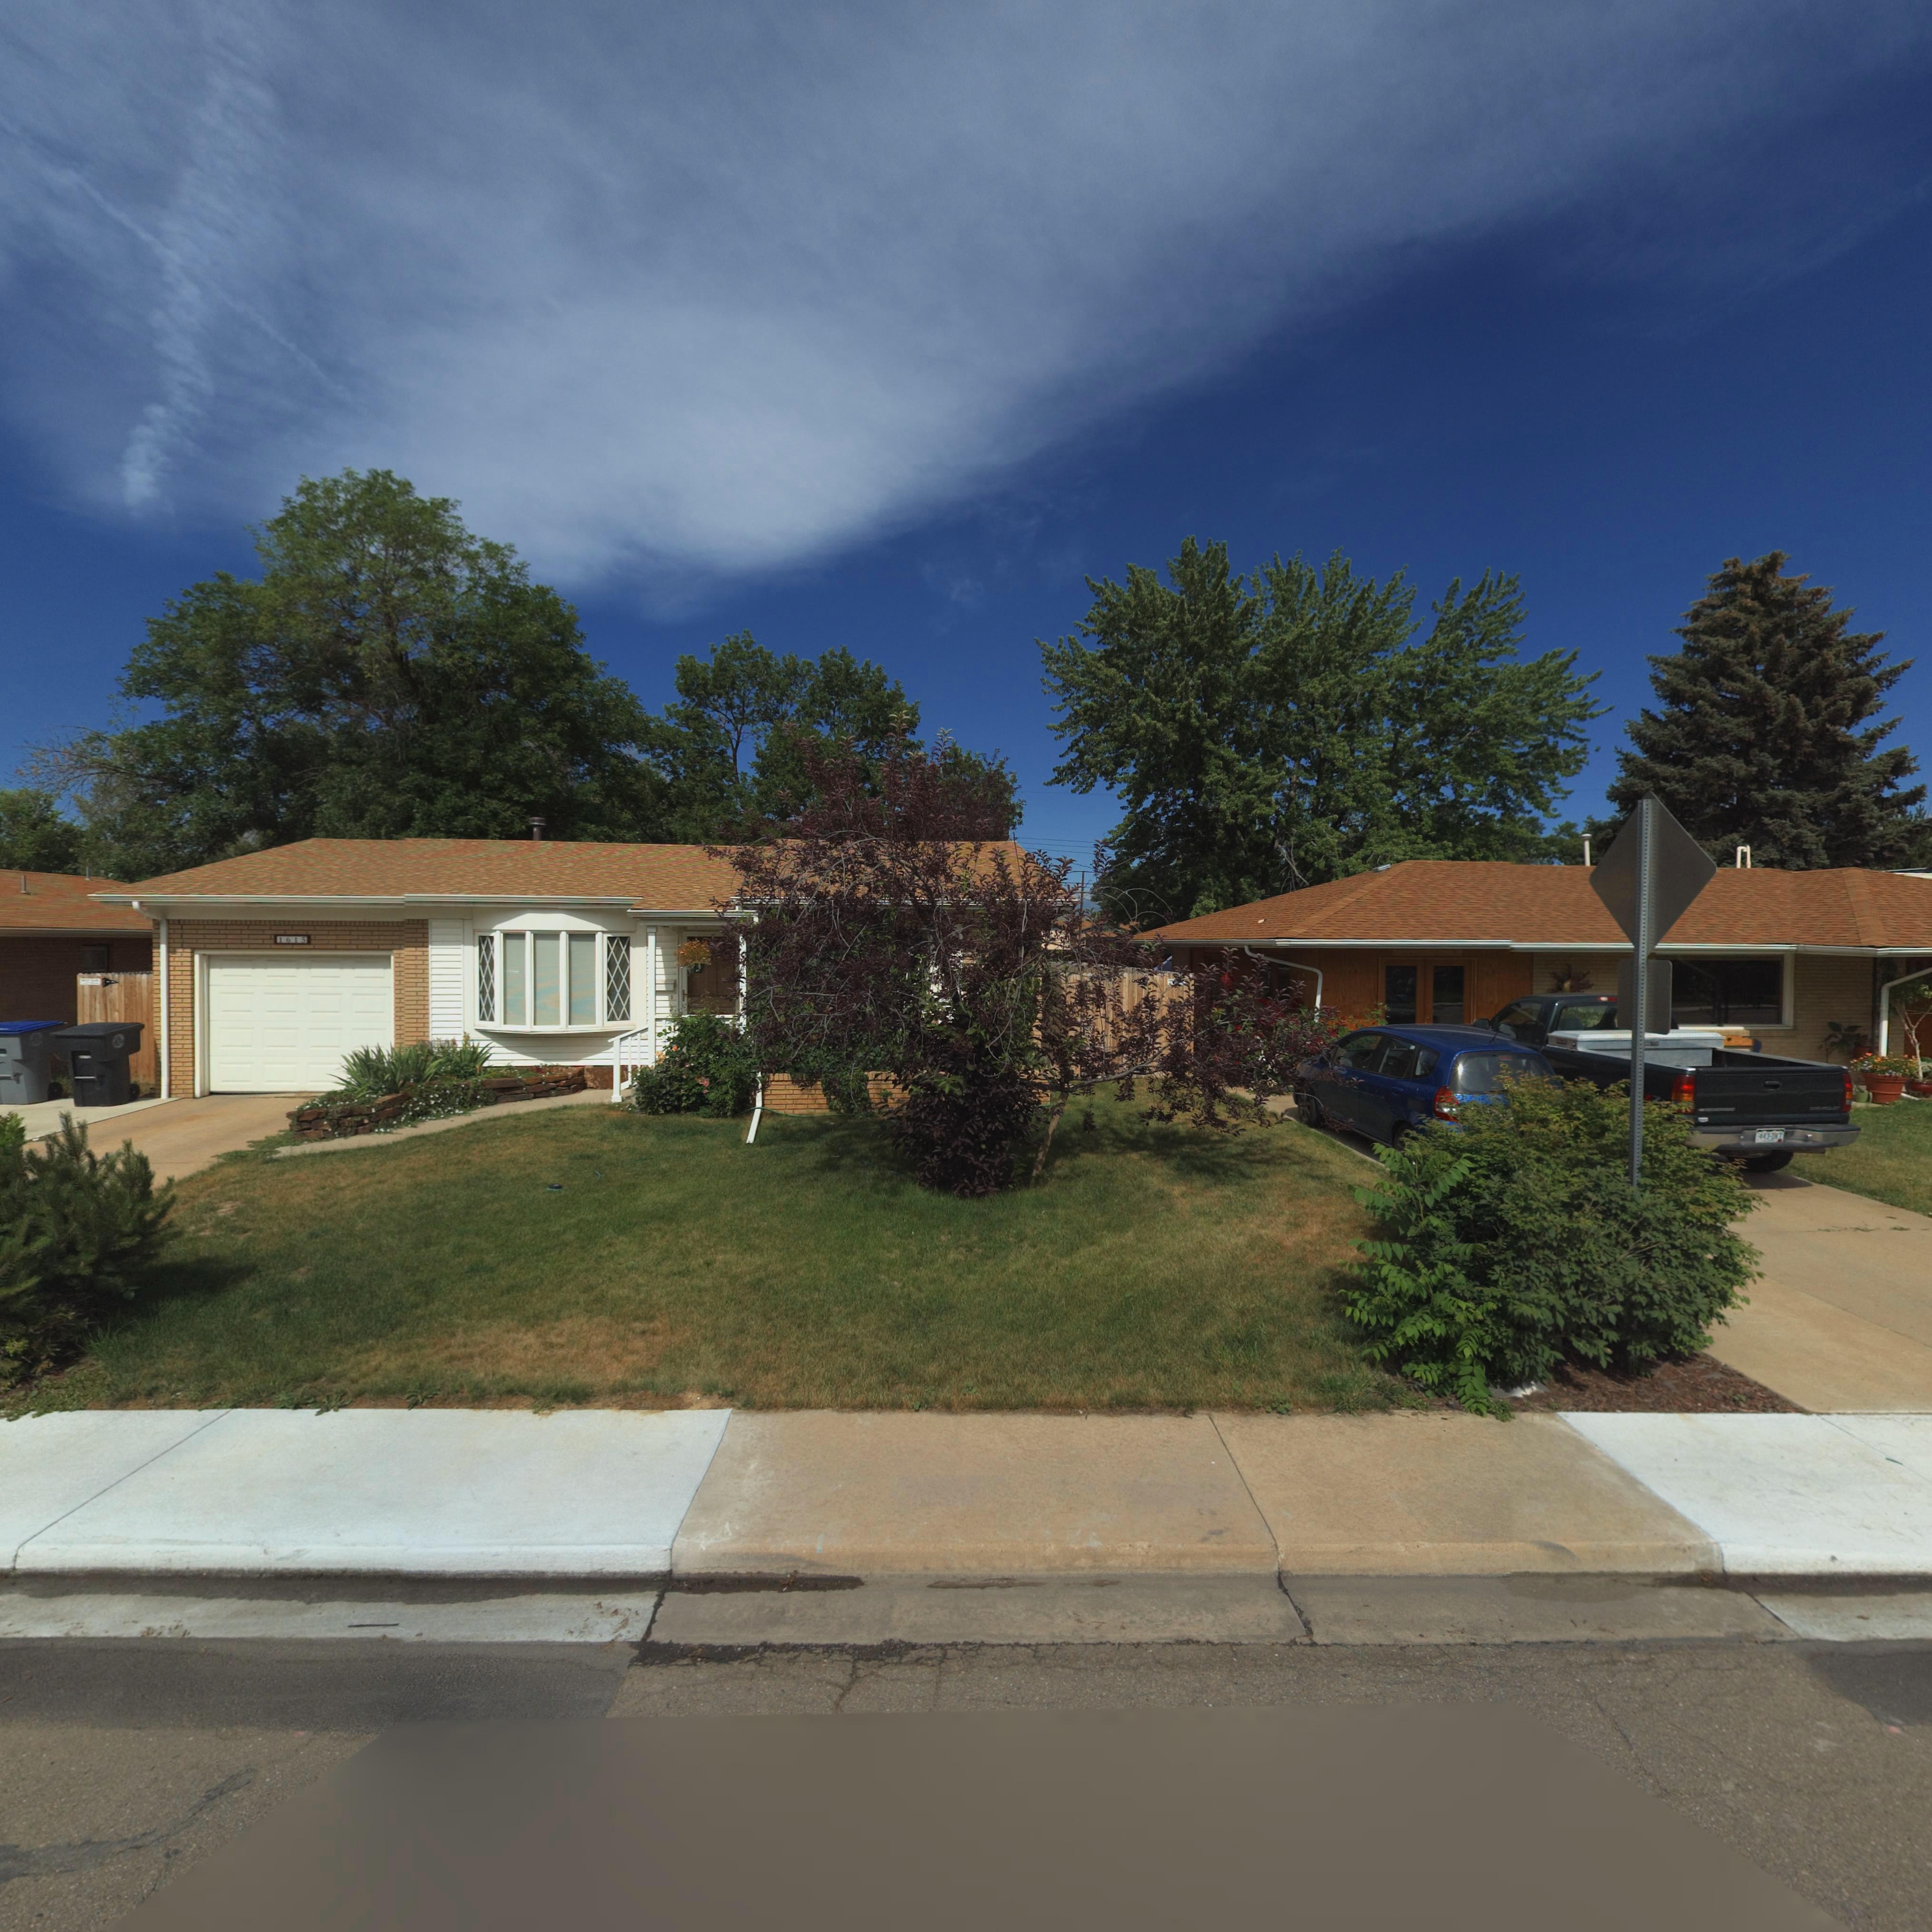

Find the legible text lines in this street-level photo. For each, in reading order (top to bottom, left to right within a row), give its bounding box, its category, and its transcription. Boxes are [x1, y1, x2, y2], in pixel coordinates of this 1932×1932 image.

[279, 936, 306, 943] StreetNumber: 1615